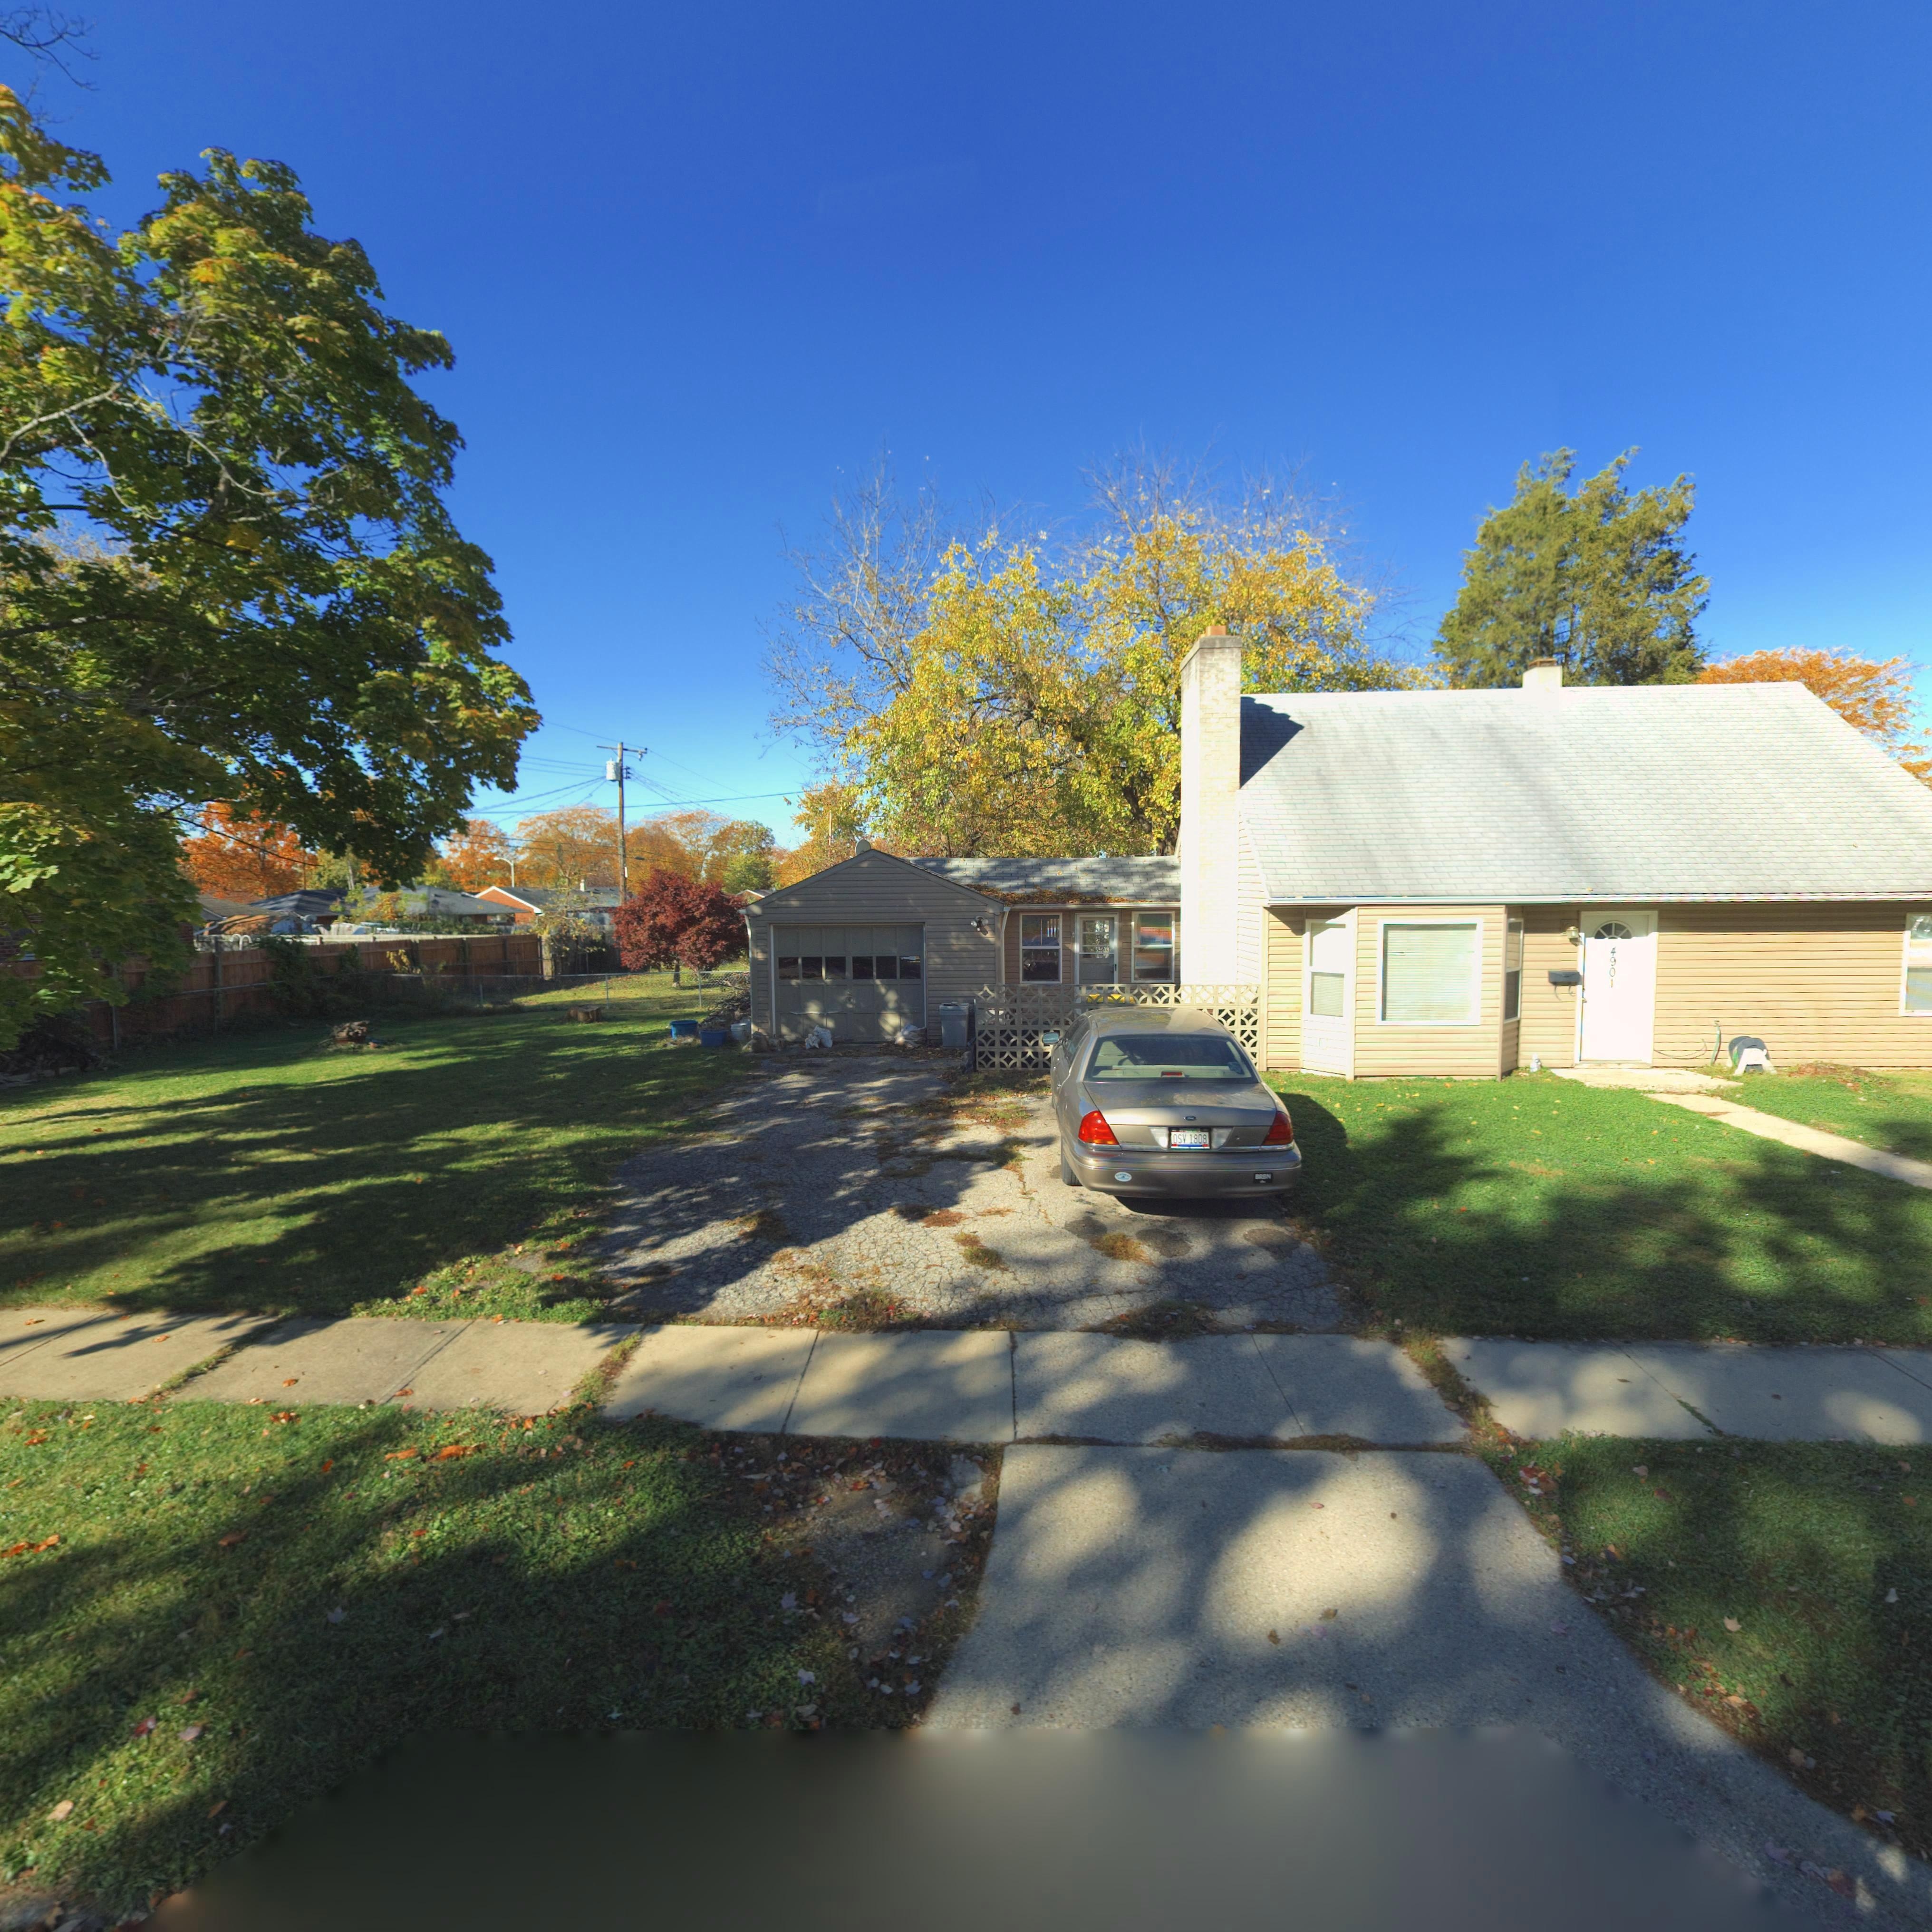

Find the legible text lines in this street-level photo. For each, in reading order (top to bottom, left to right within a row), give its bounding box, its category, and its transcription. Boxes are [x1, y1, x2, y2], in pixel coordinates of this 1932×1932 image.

[1608, 947, 1617, 989] StreetNumber: 4901